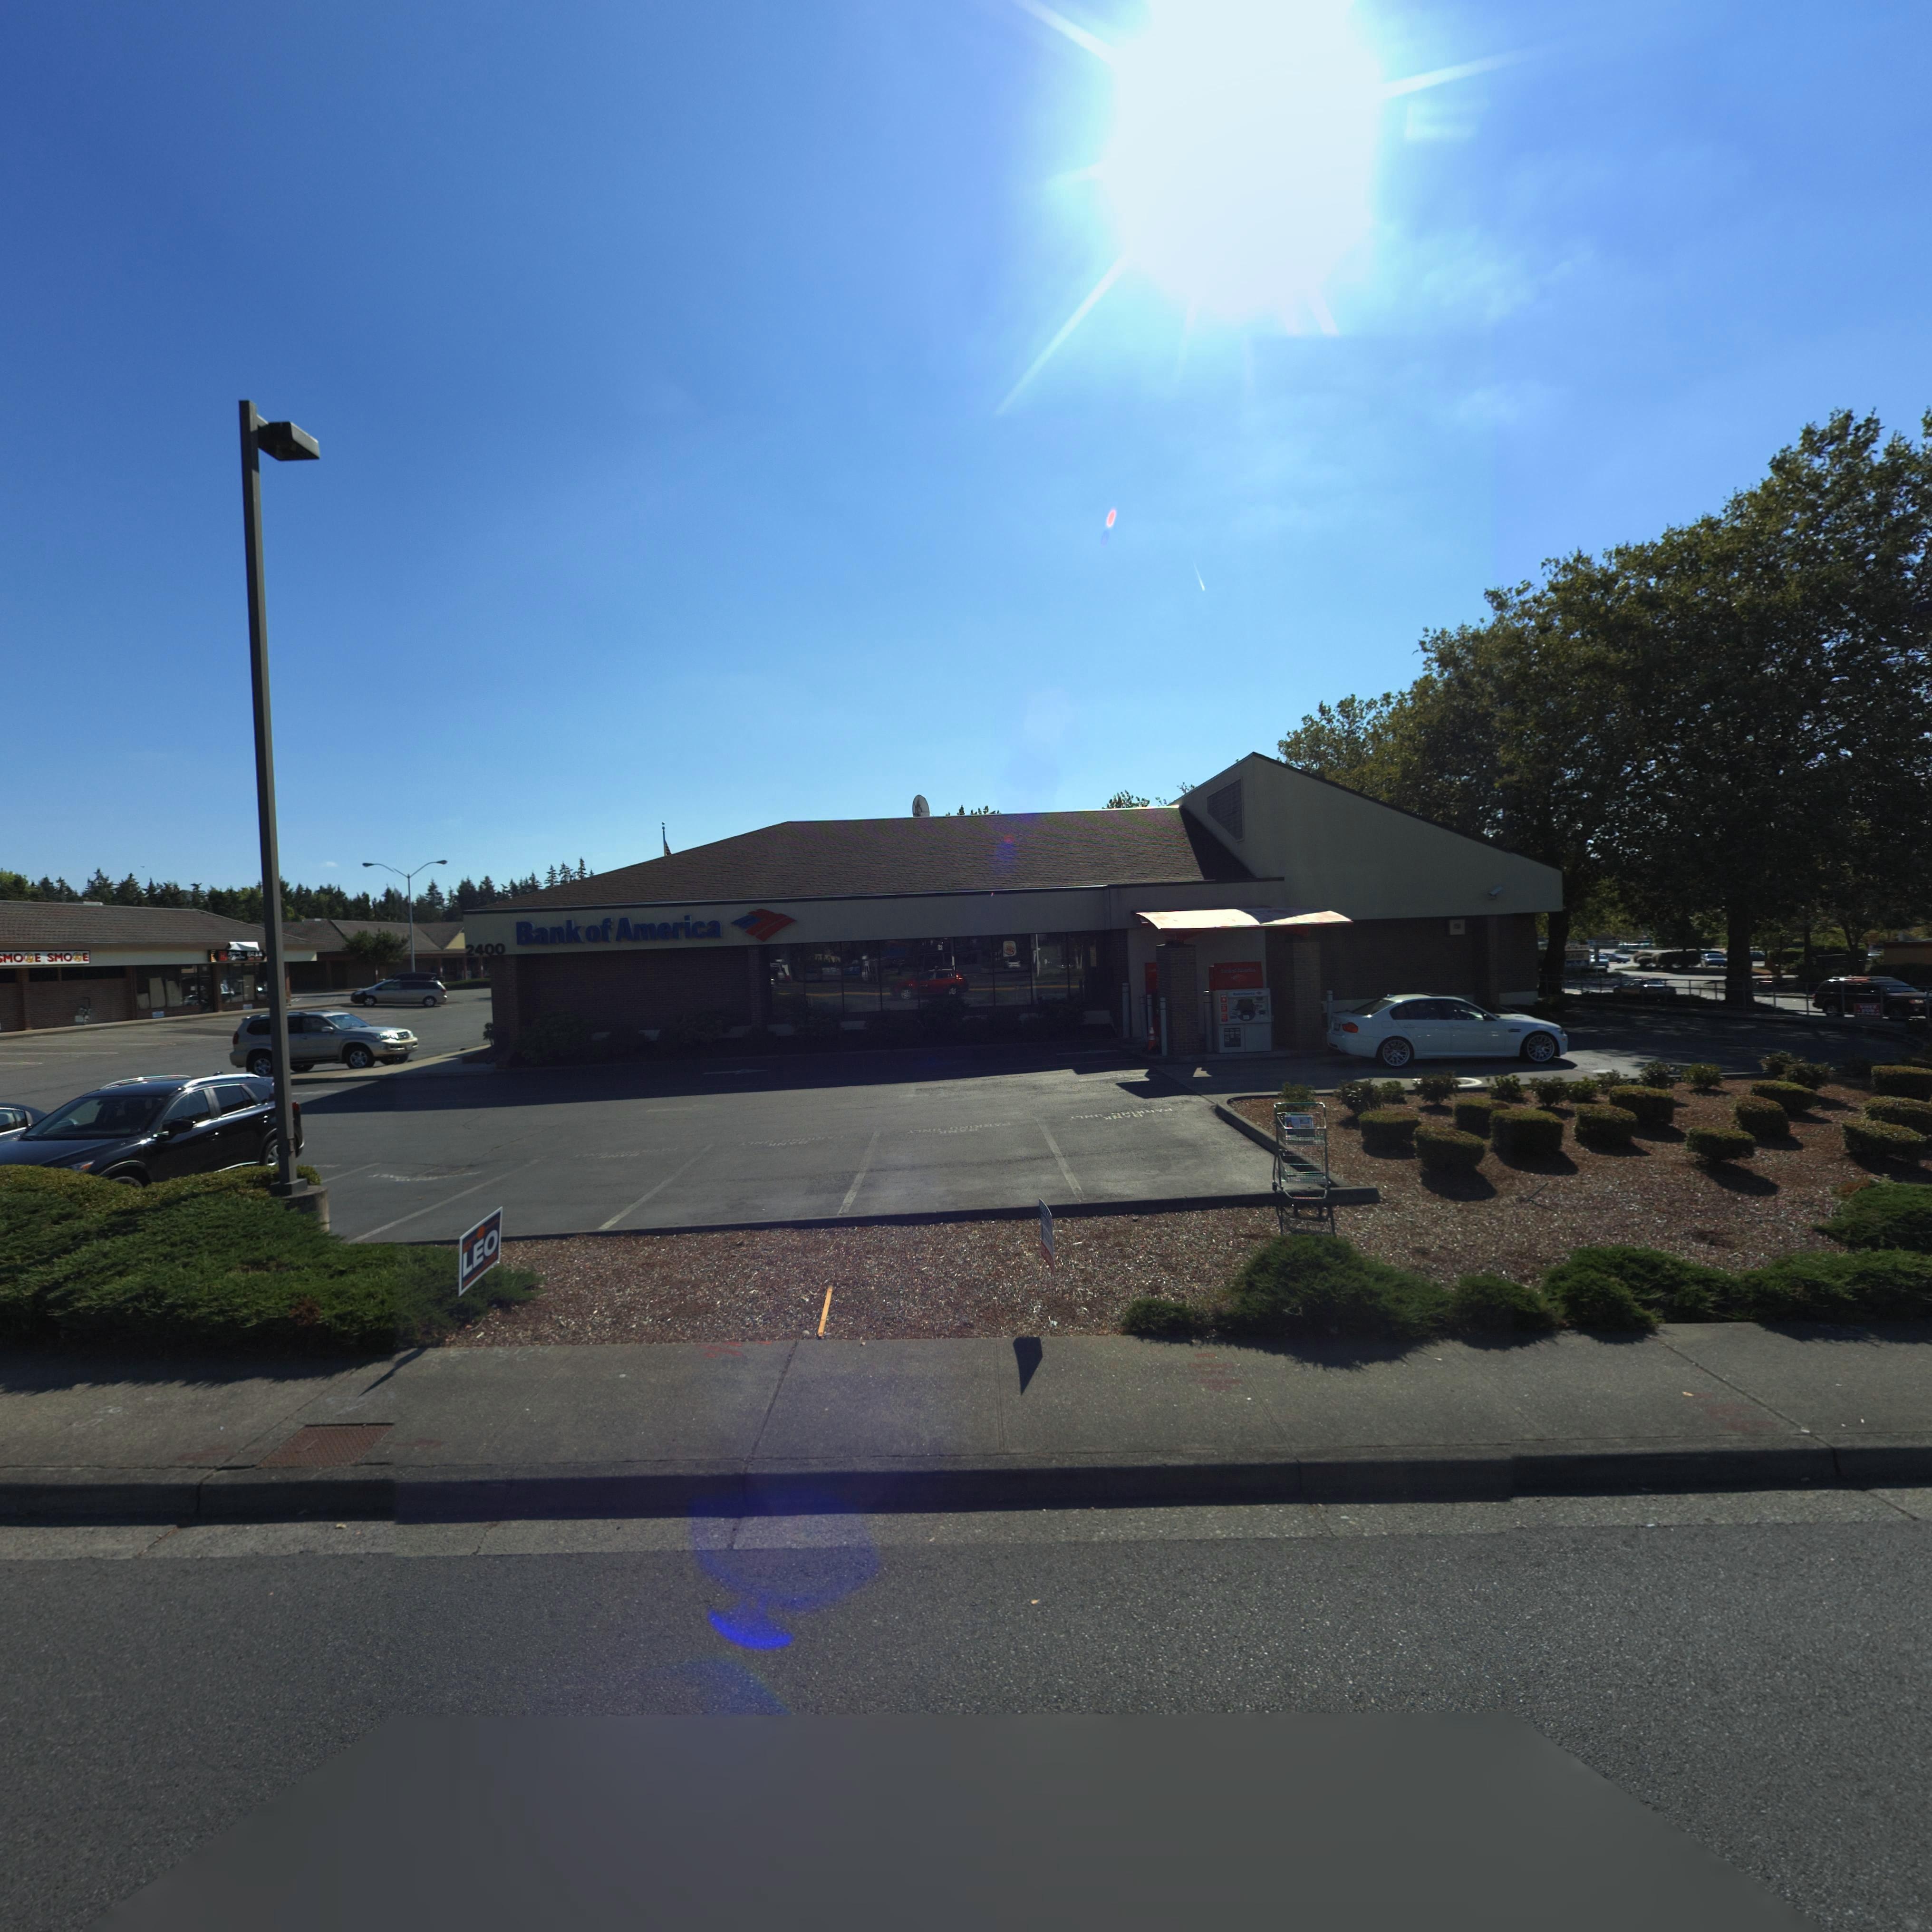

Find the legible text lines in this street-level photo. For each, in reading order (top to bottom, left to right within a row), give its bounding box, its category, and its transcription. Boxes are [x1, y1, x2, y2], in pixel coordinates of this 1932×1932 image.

[516, 914, 724, 946] BusinessName: Bank of America
[464, 942, 506, 956] StreetNumber: 2400
[1, 951, 90, 964] BusinessName: MO*E SMO*E